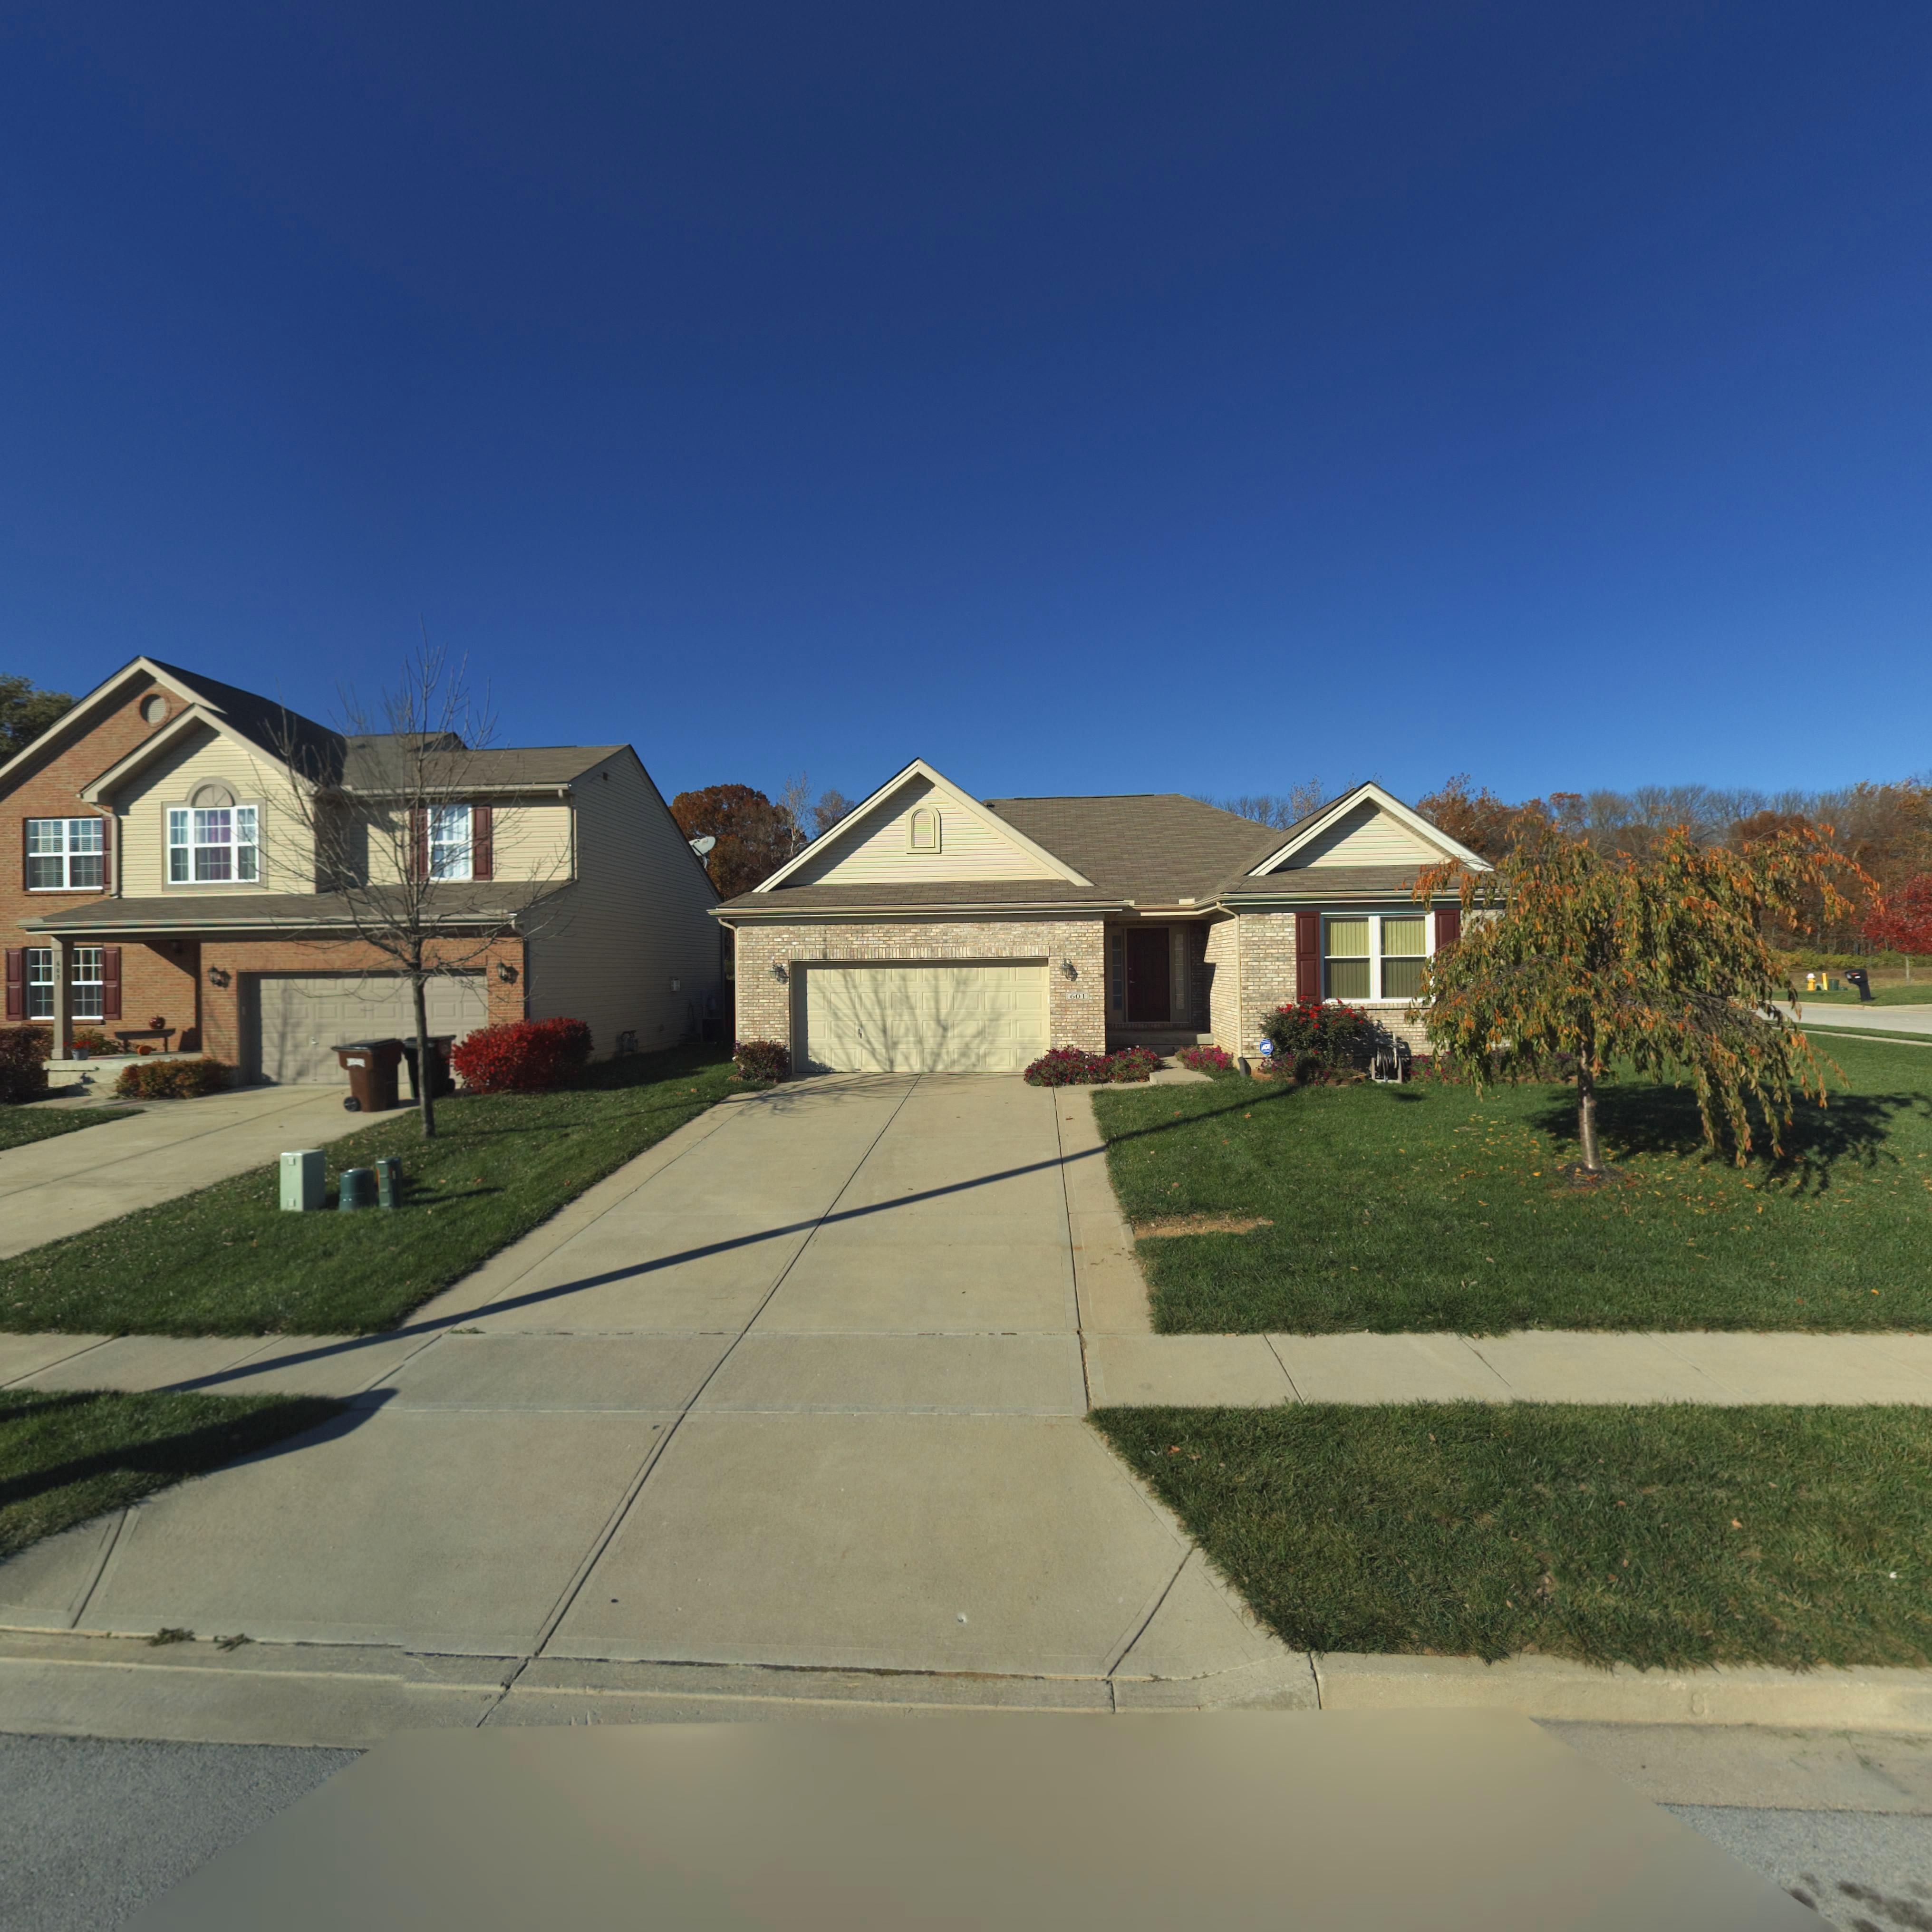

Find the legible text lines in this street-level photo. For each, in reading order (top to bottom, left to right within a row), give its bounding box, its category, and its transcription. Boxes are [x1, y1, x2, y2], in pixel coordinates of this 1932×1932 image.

[56, 960, 61, 980] StreetNumber: 603
[1070, 994, 1084, 999] StreetNumber: 601